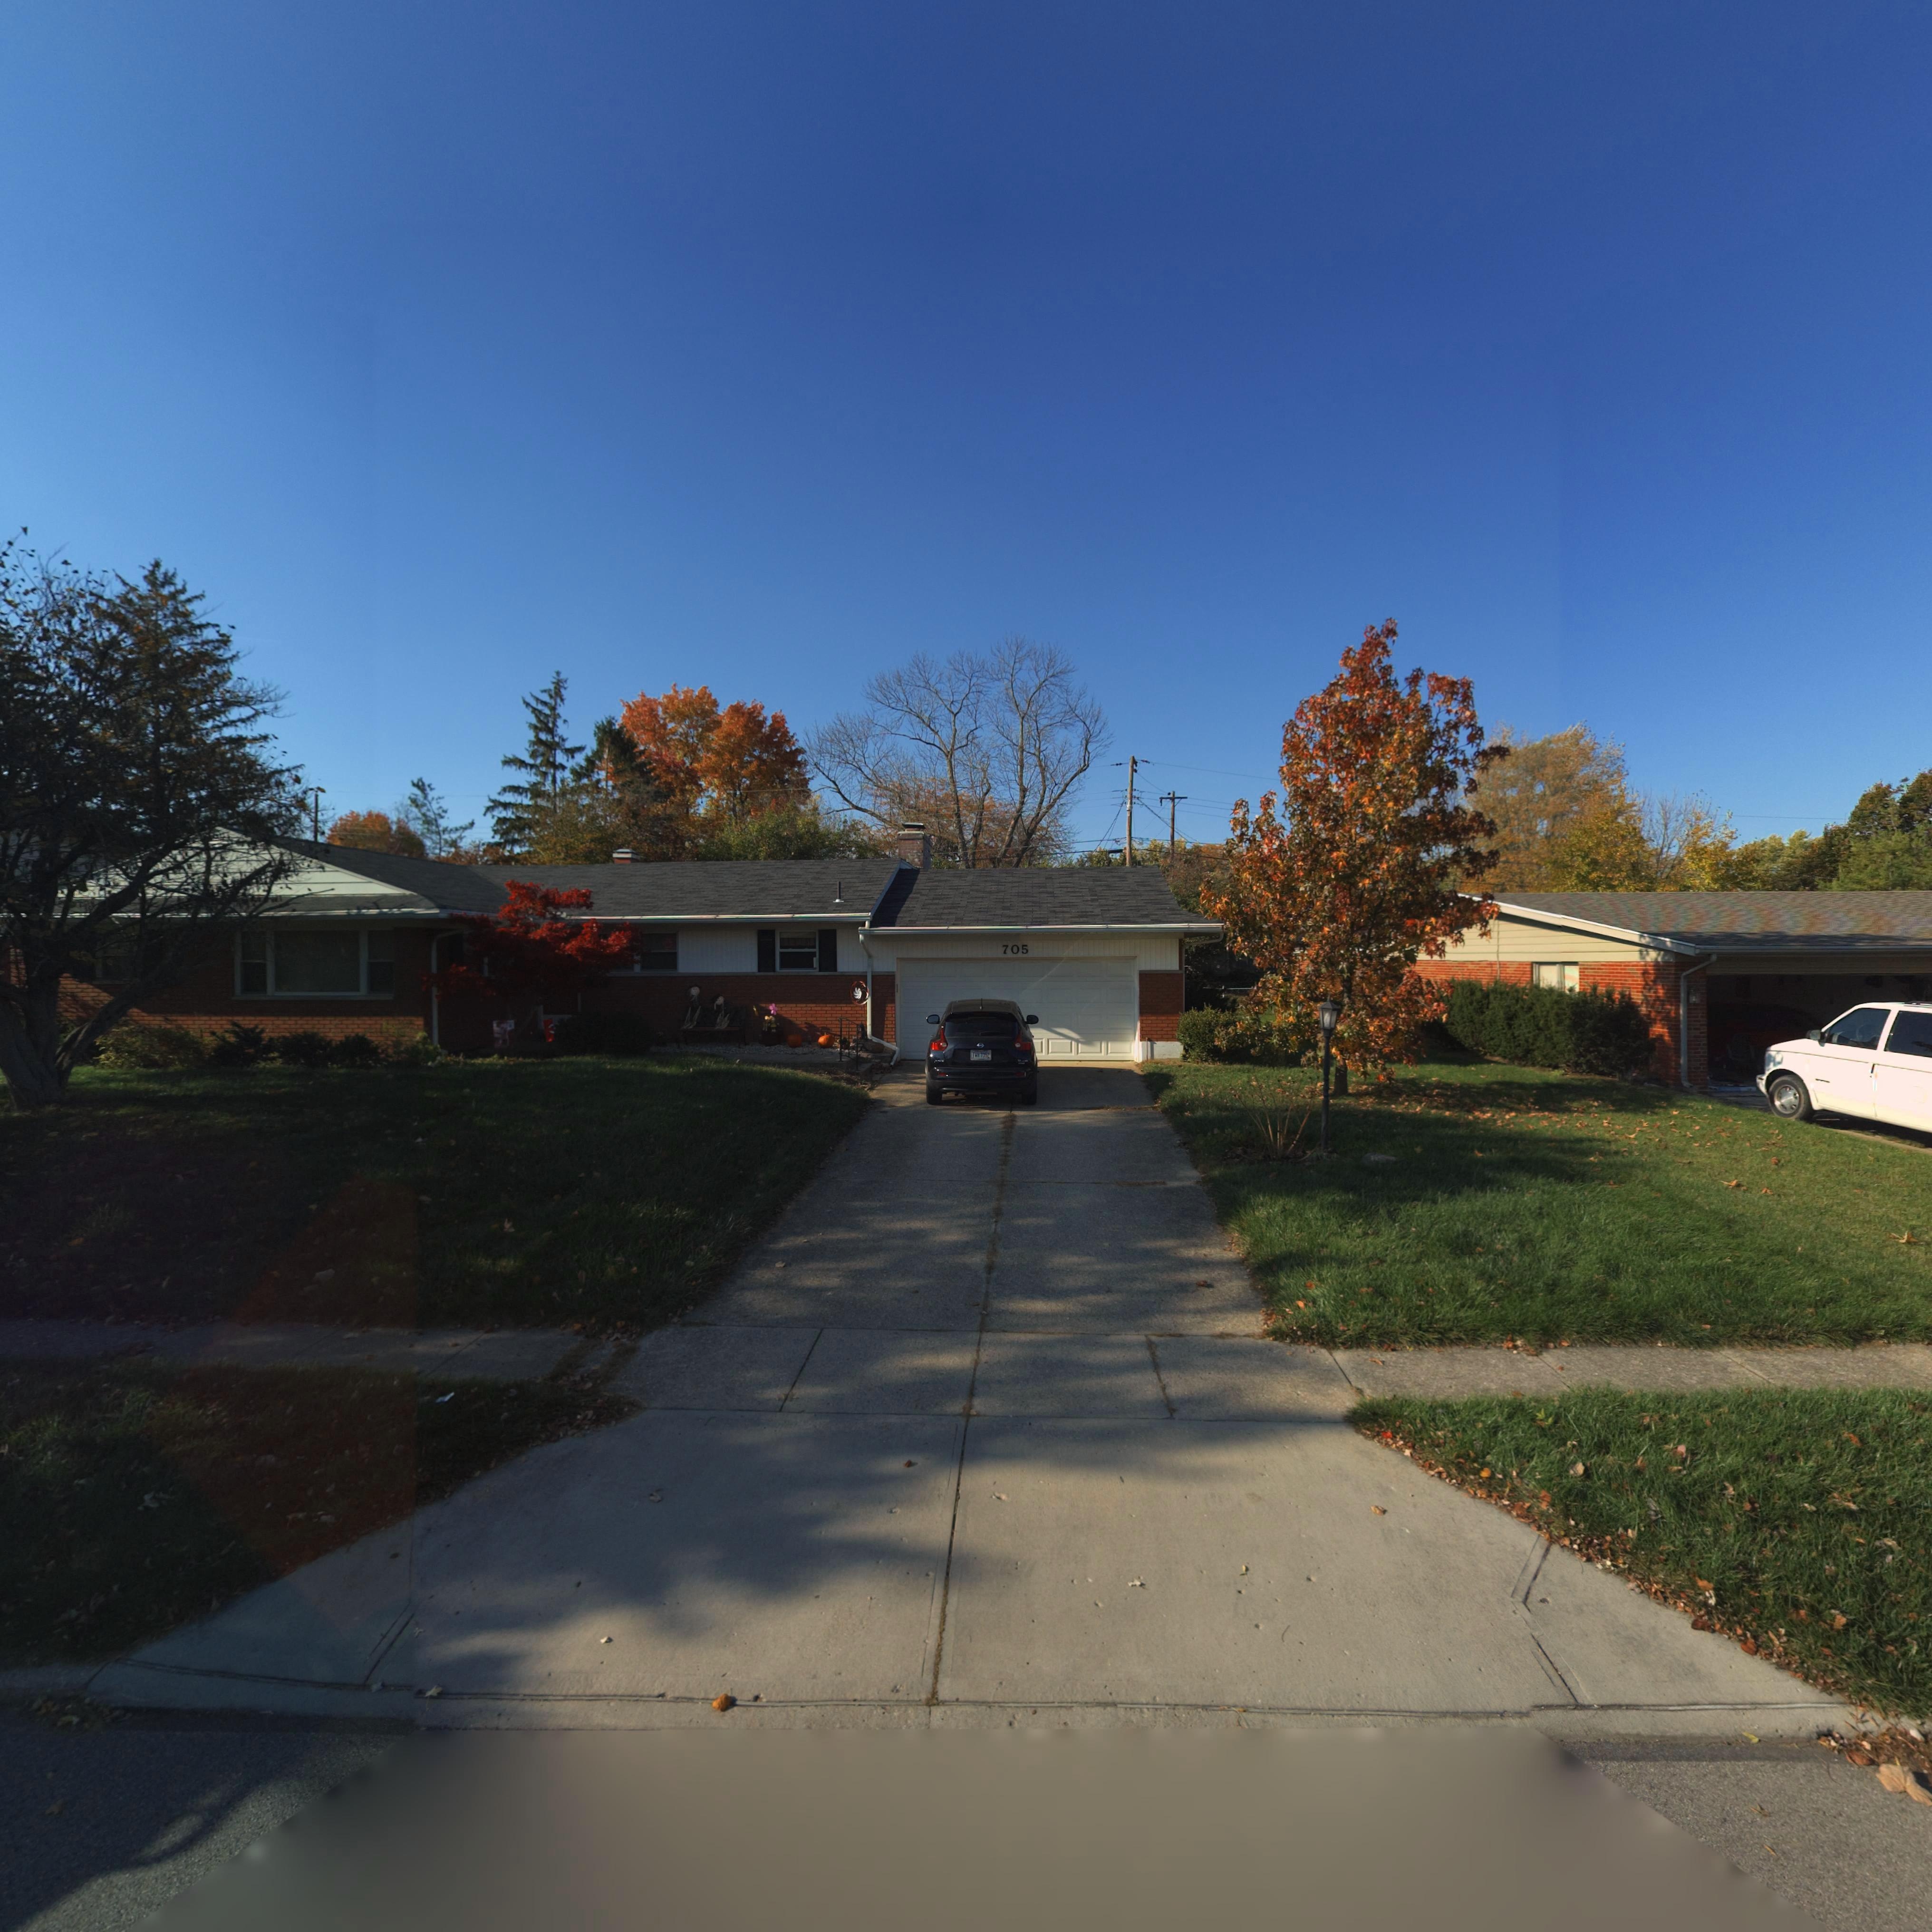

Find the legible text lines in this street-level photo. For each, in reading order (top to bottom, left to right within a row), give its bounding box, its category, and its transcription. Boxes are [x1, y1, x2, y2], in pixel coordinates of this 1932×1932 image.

[1001, 944, 1029, 955] StreetNumber: 705